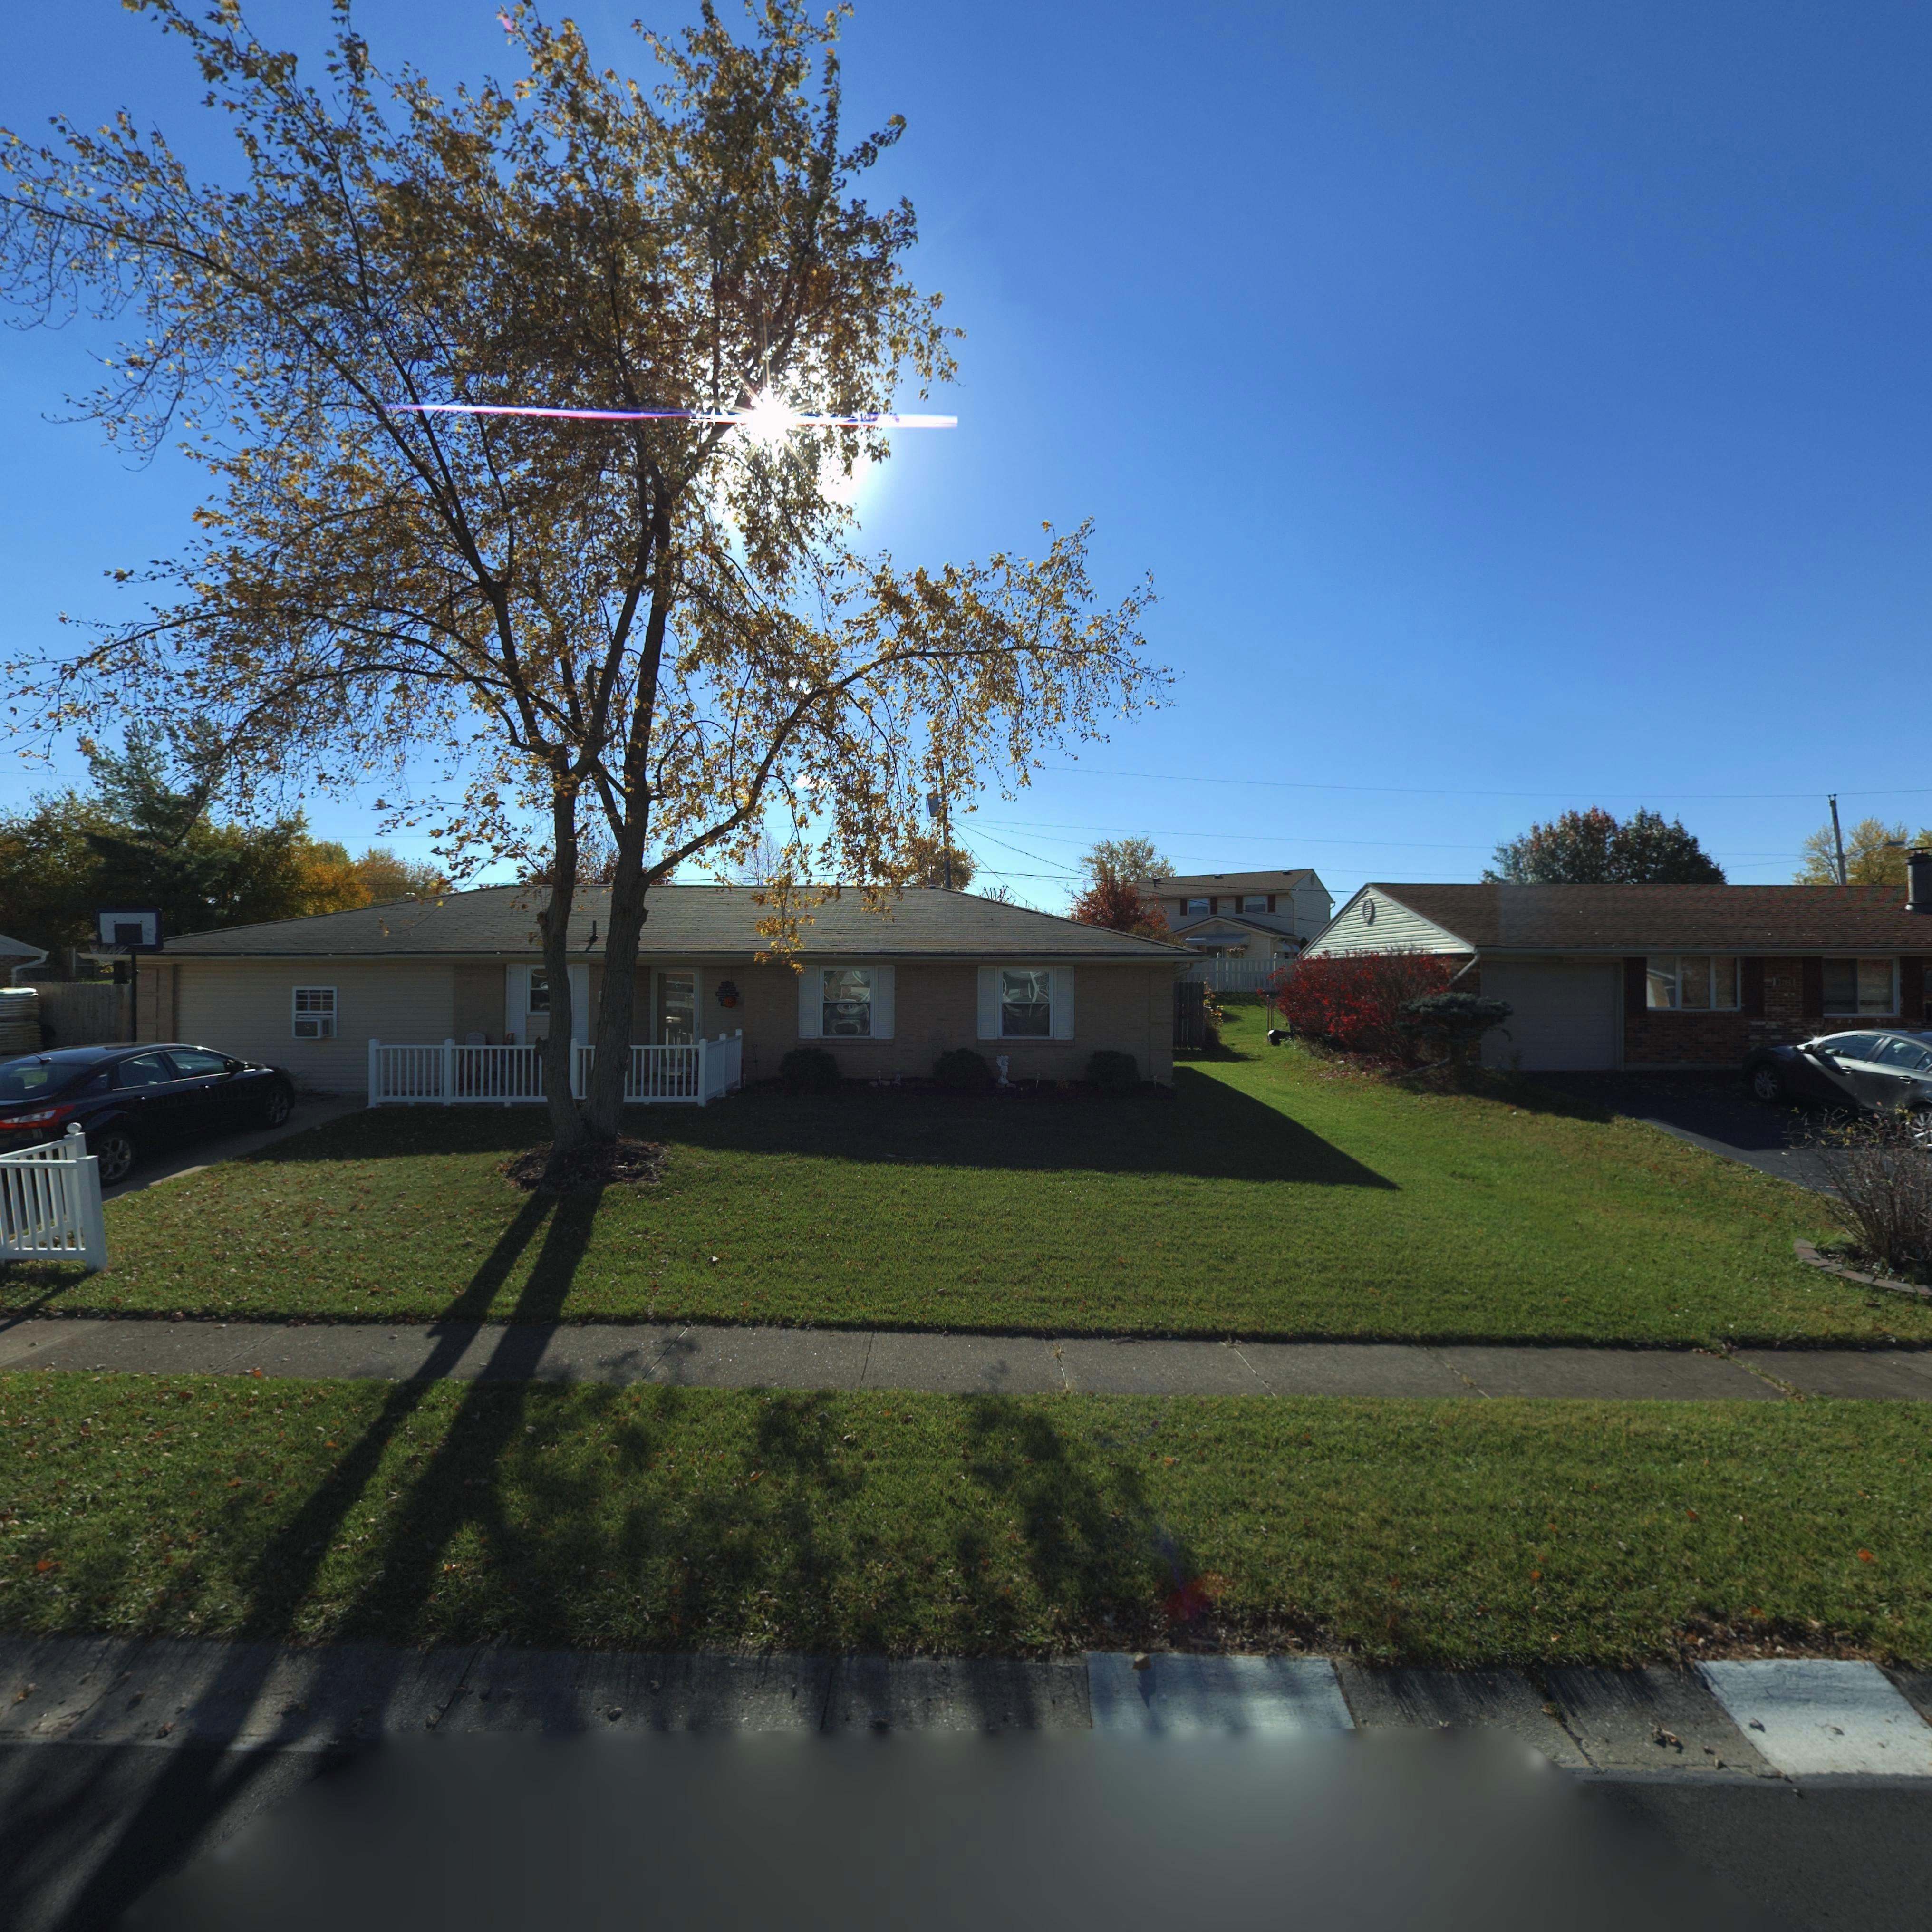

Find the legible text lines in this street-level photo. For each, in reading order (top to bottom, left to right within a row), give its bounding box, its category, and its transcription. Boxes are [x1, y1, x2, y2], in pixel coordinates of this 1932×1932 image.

[1777, 977, 1792, 985] StreetNumber: 7*06